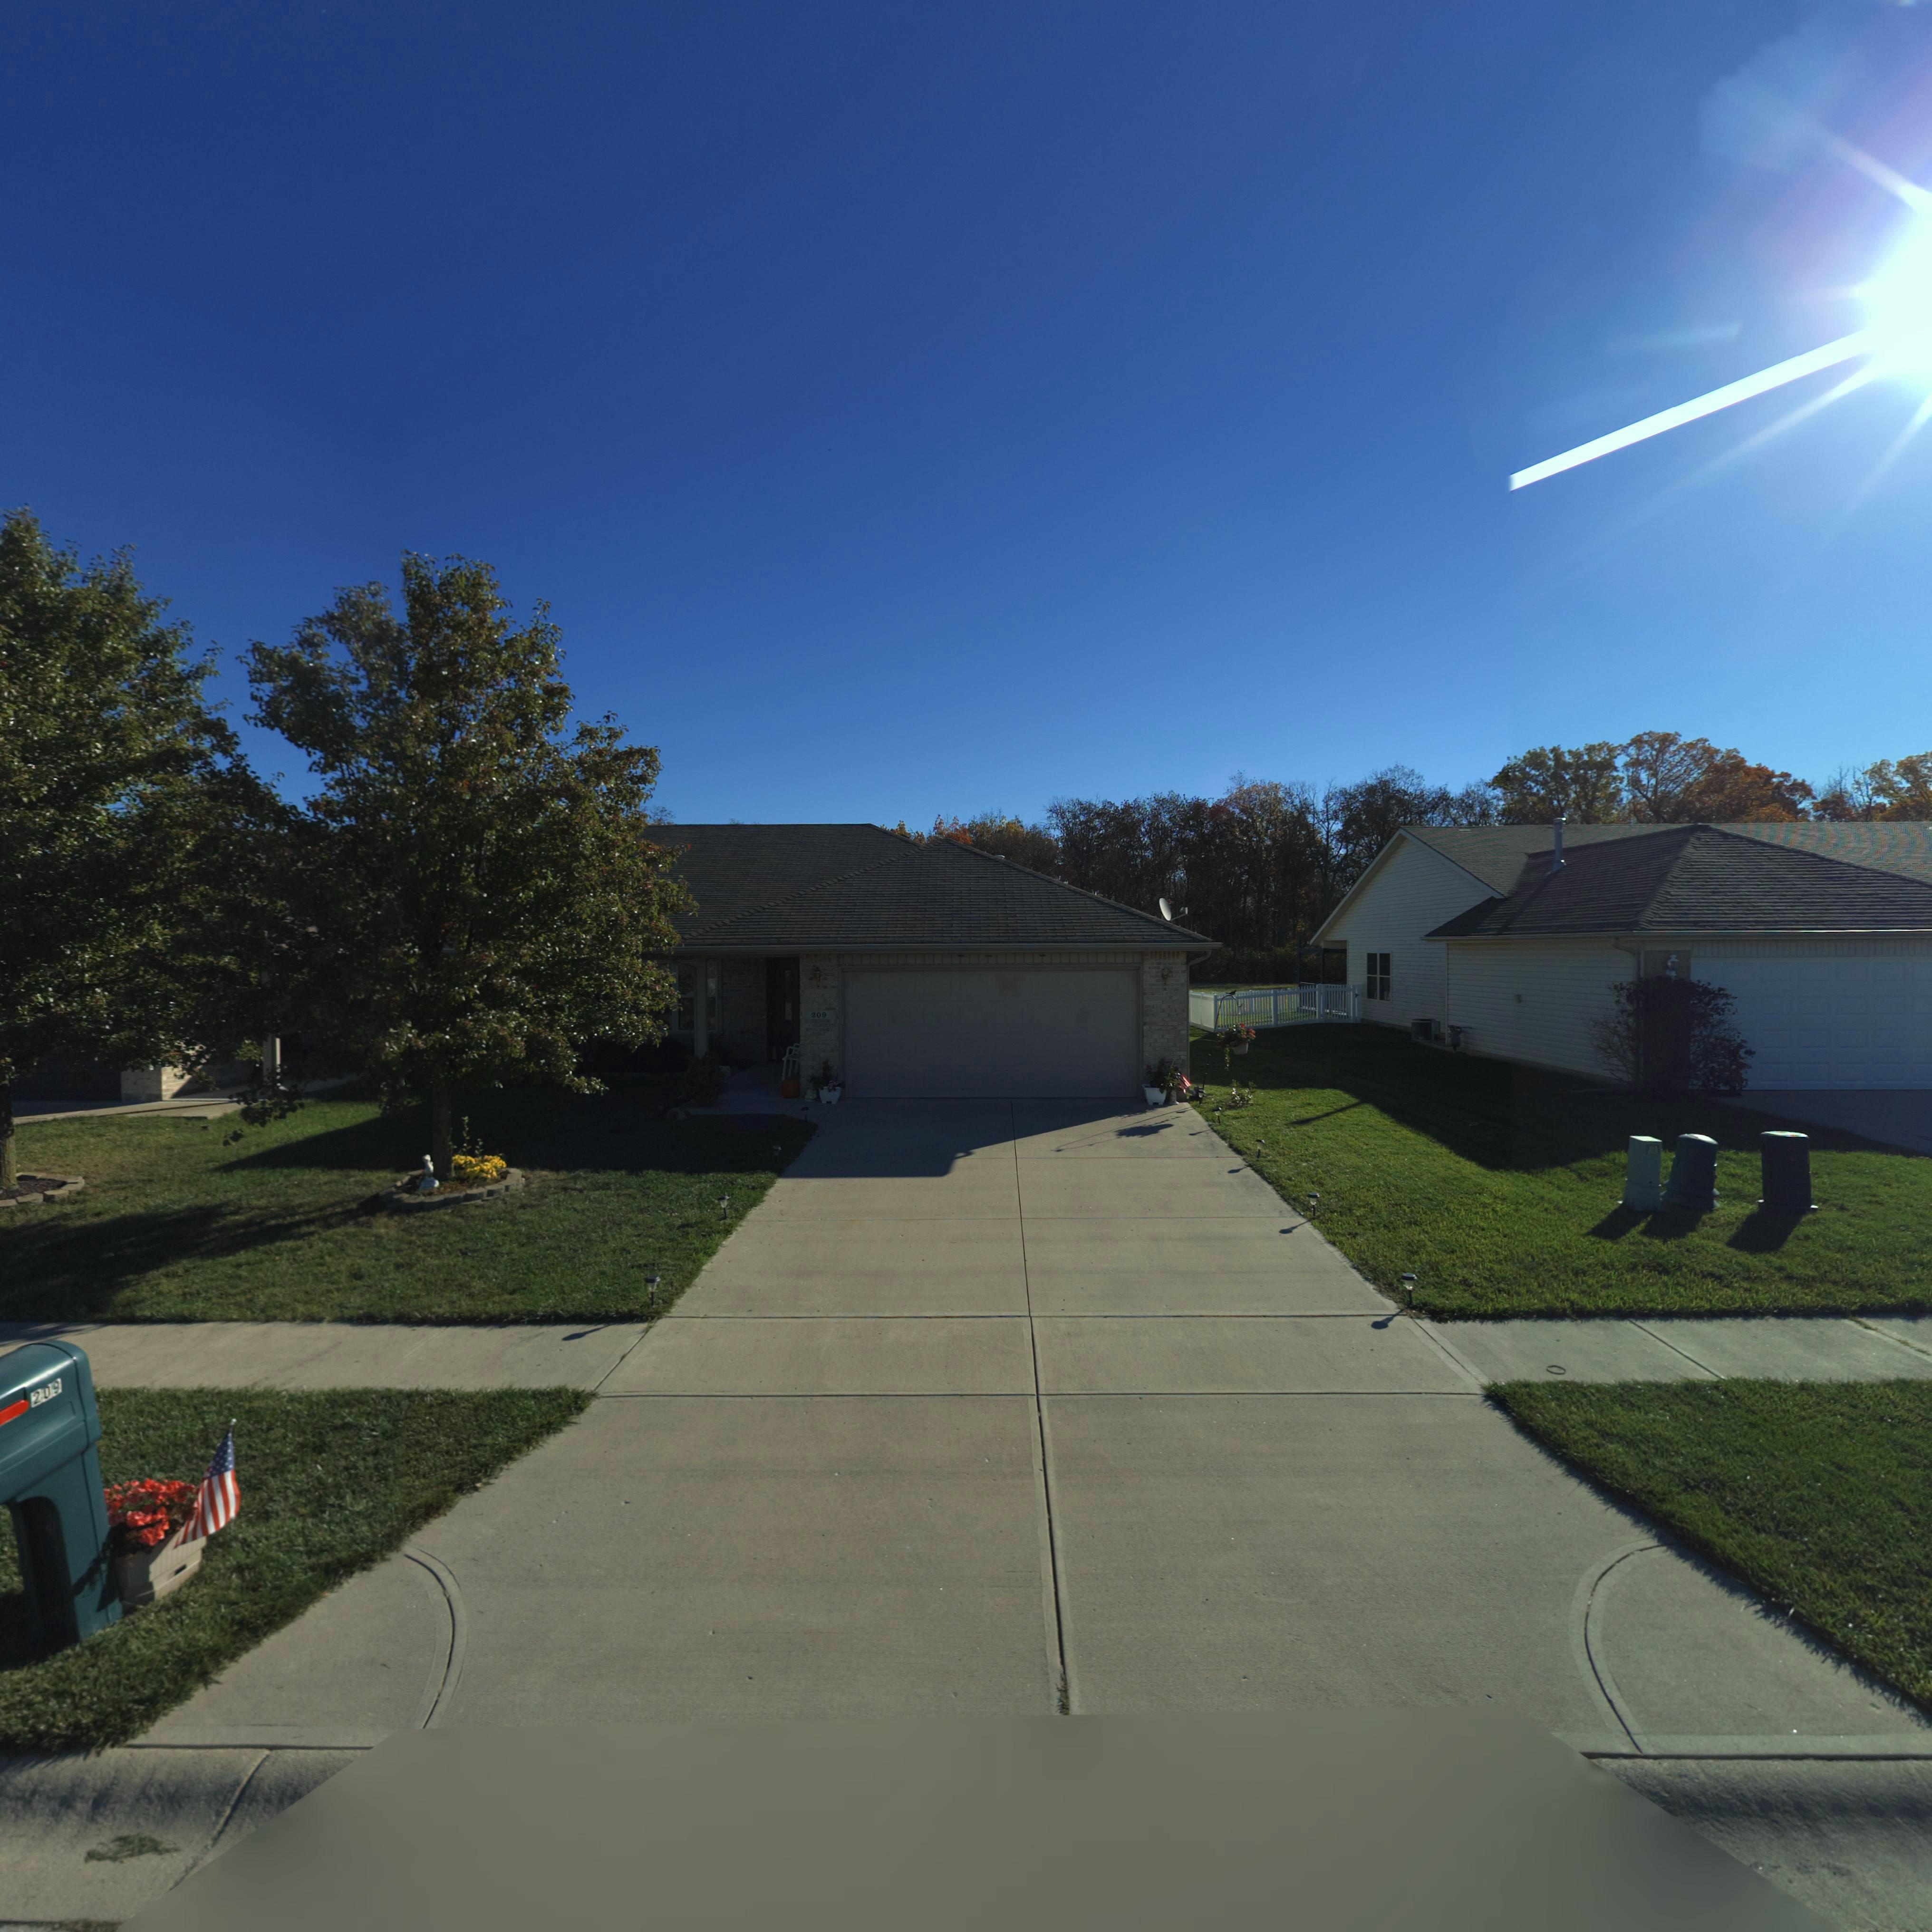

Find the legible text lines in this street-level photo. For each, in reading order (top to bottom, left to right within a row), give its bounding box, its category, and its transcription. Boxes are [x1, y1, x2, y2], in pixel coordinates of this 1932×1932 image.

[811, 1012, 827, 1018] StreetNumber: 209
[31, 1379, 61, 1406] StreetNumber: 209